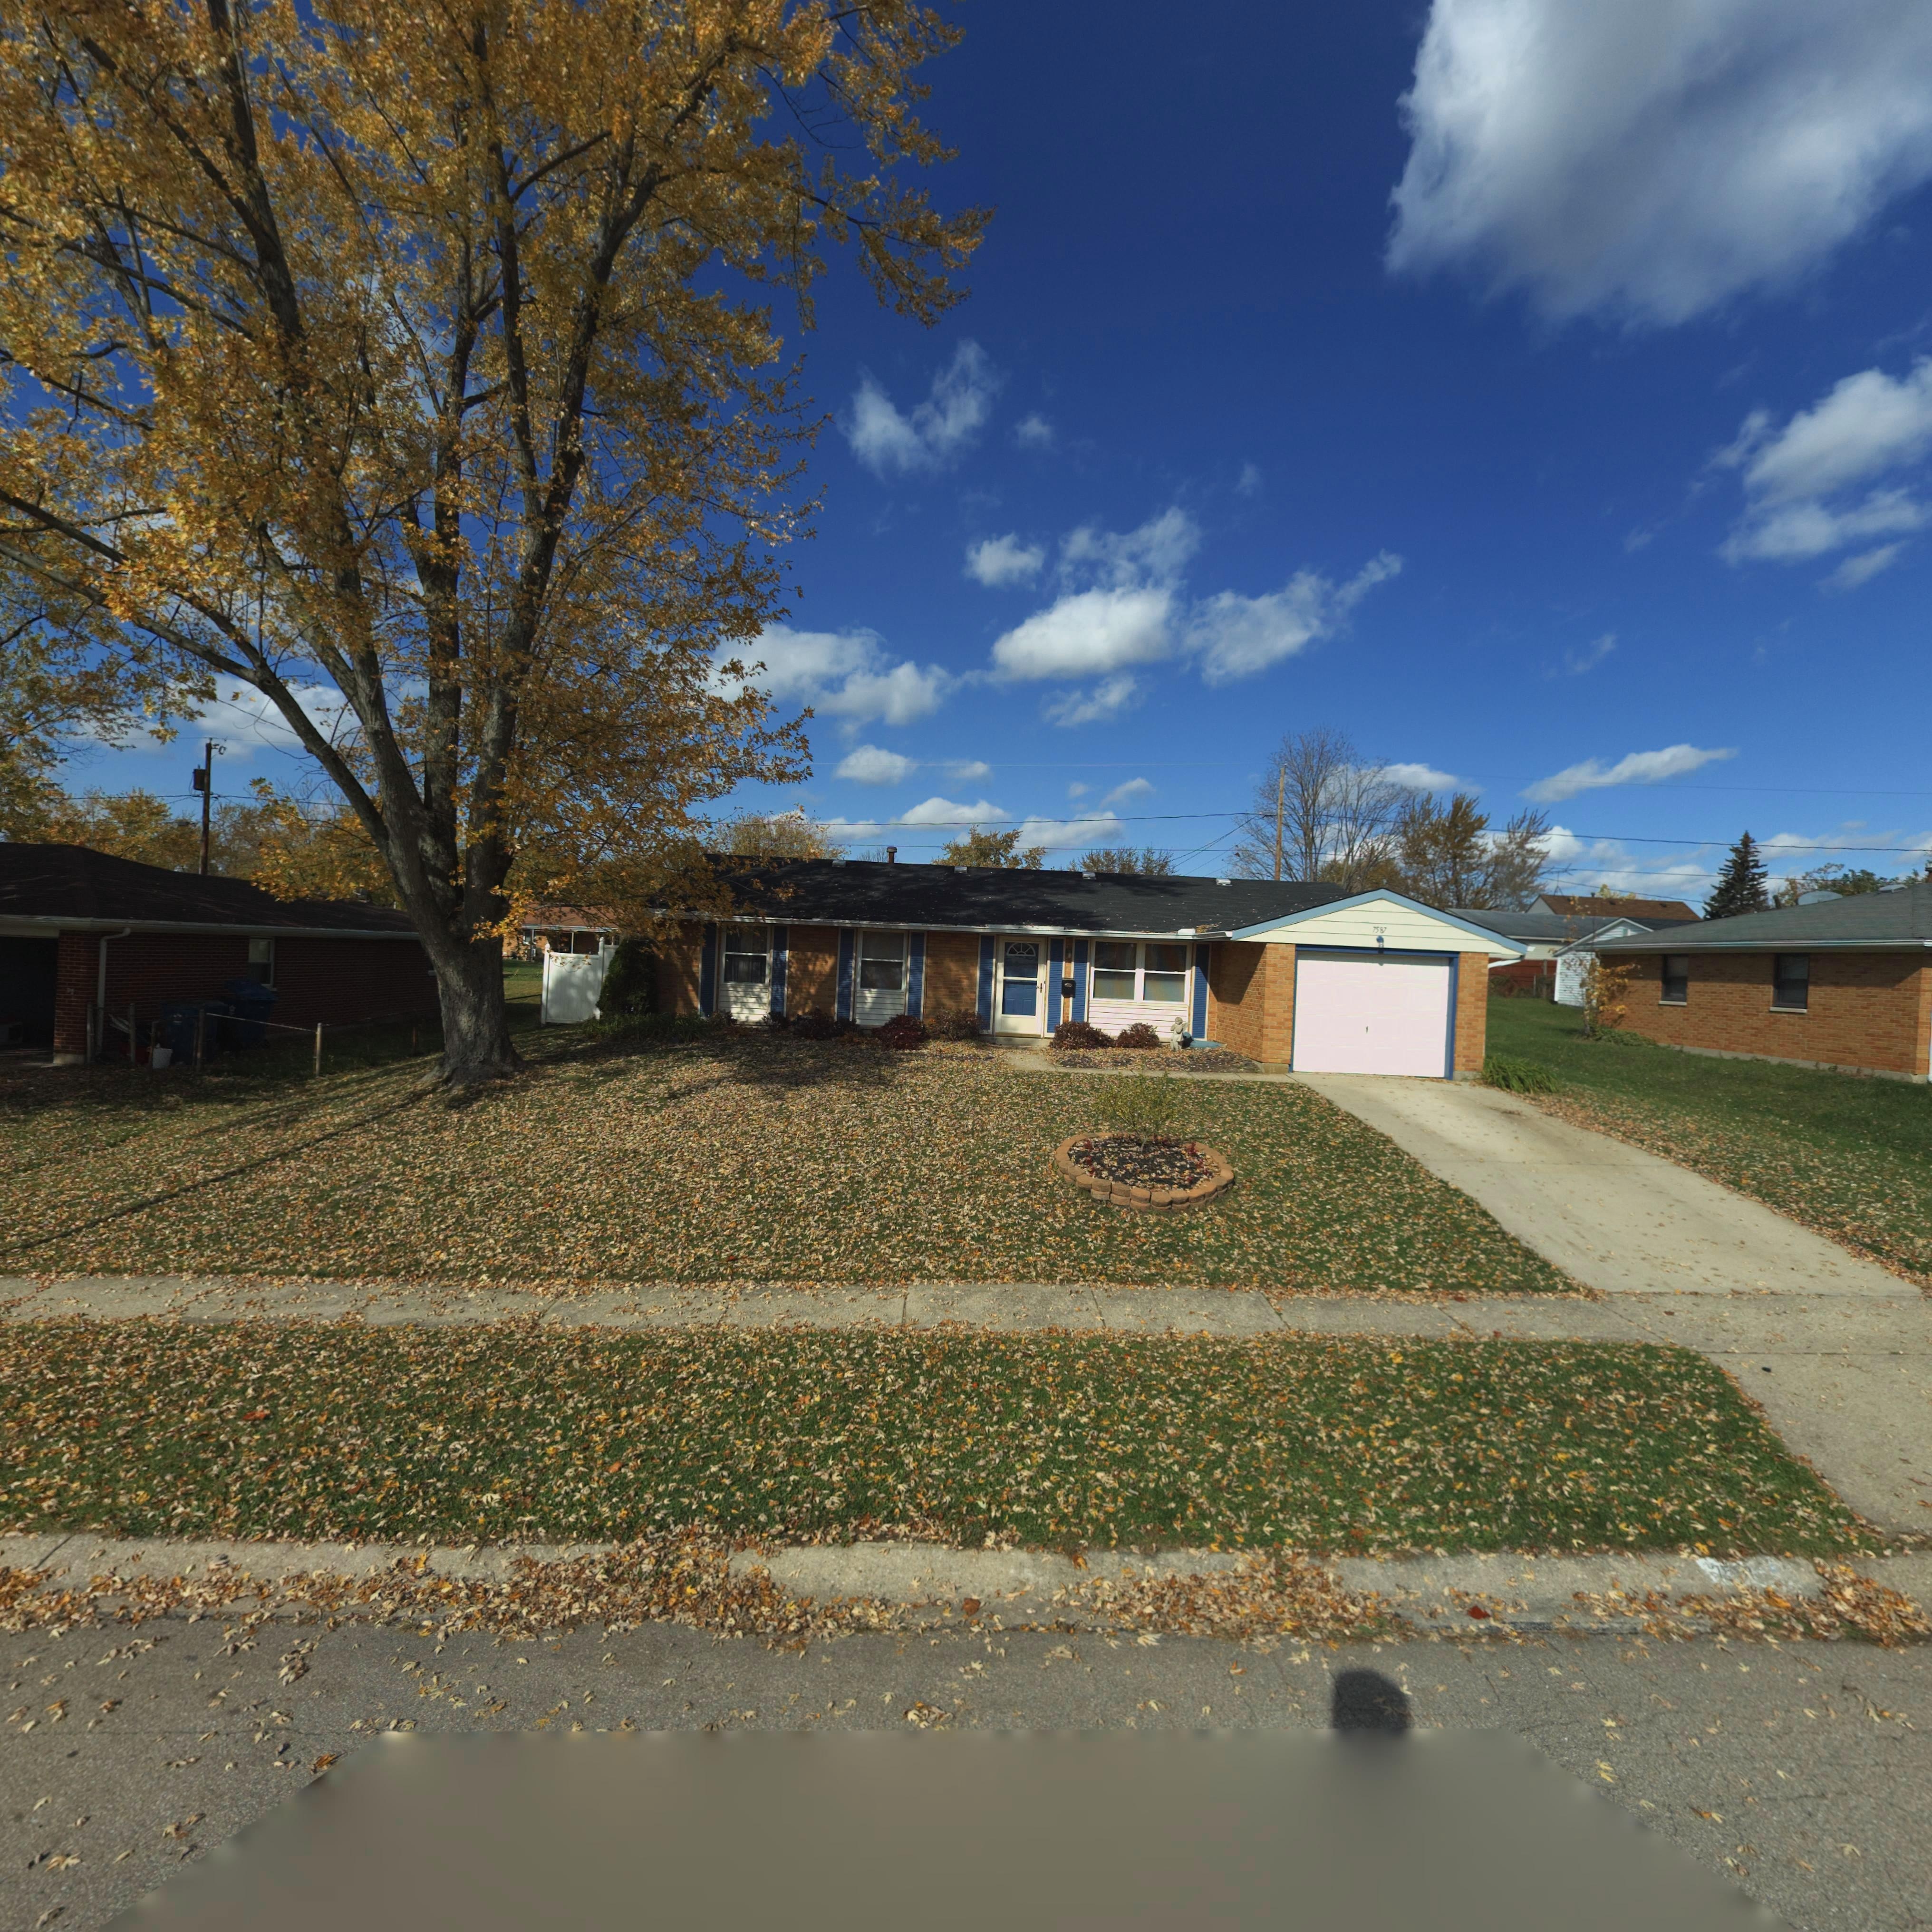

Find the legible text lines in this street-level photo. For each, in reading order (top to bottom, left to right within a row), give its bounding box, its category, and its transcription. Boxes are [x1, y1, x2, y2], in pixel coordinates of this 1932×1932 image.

[1372, 926, 1388, 934] StreetNumber: 7587
[1709, 1564, 1741, 1581] StreetNumber: 75